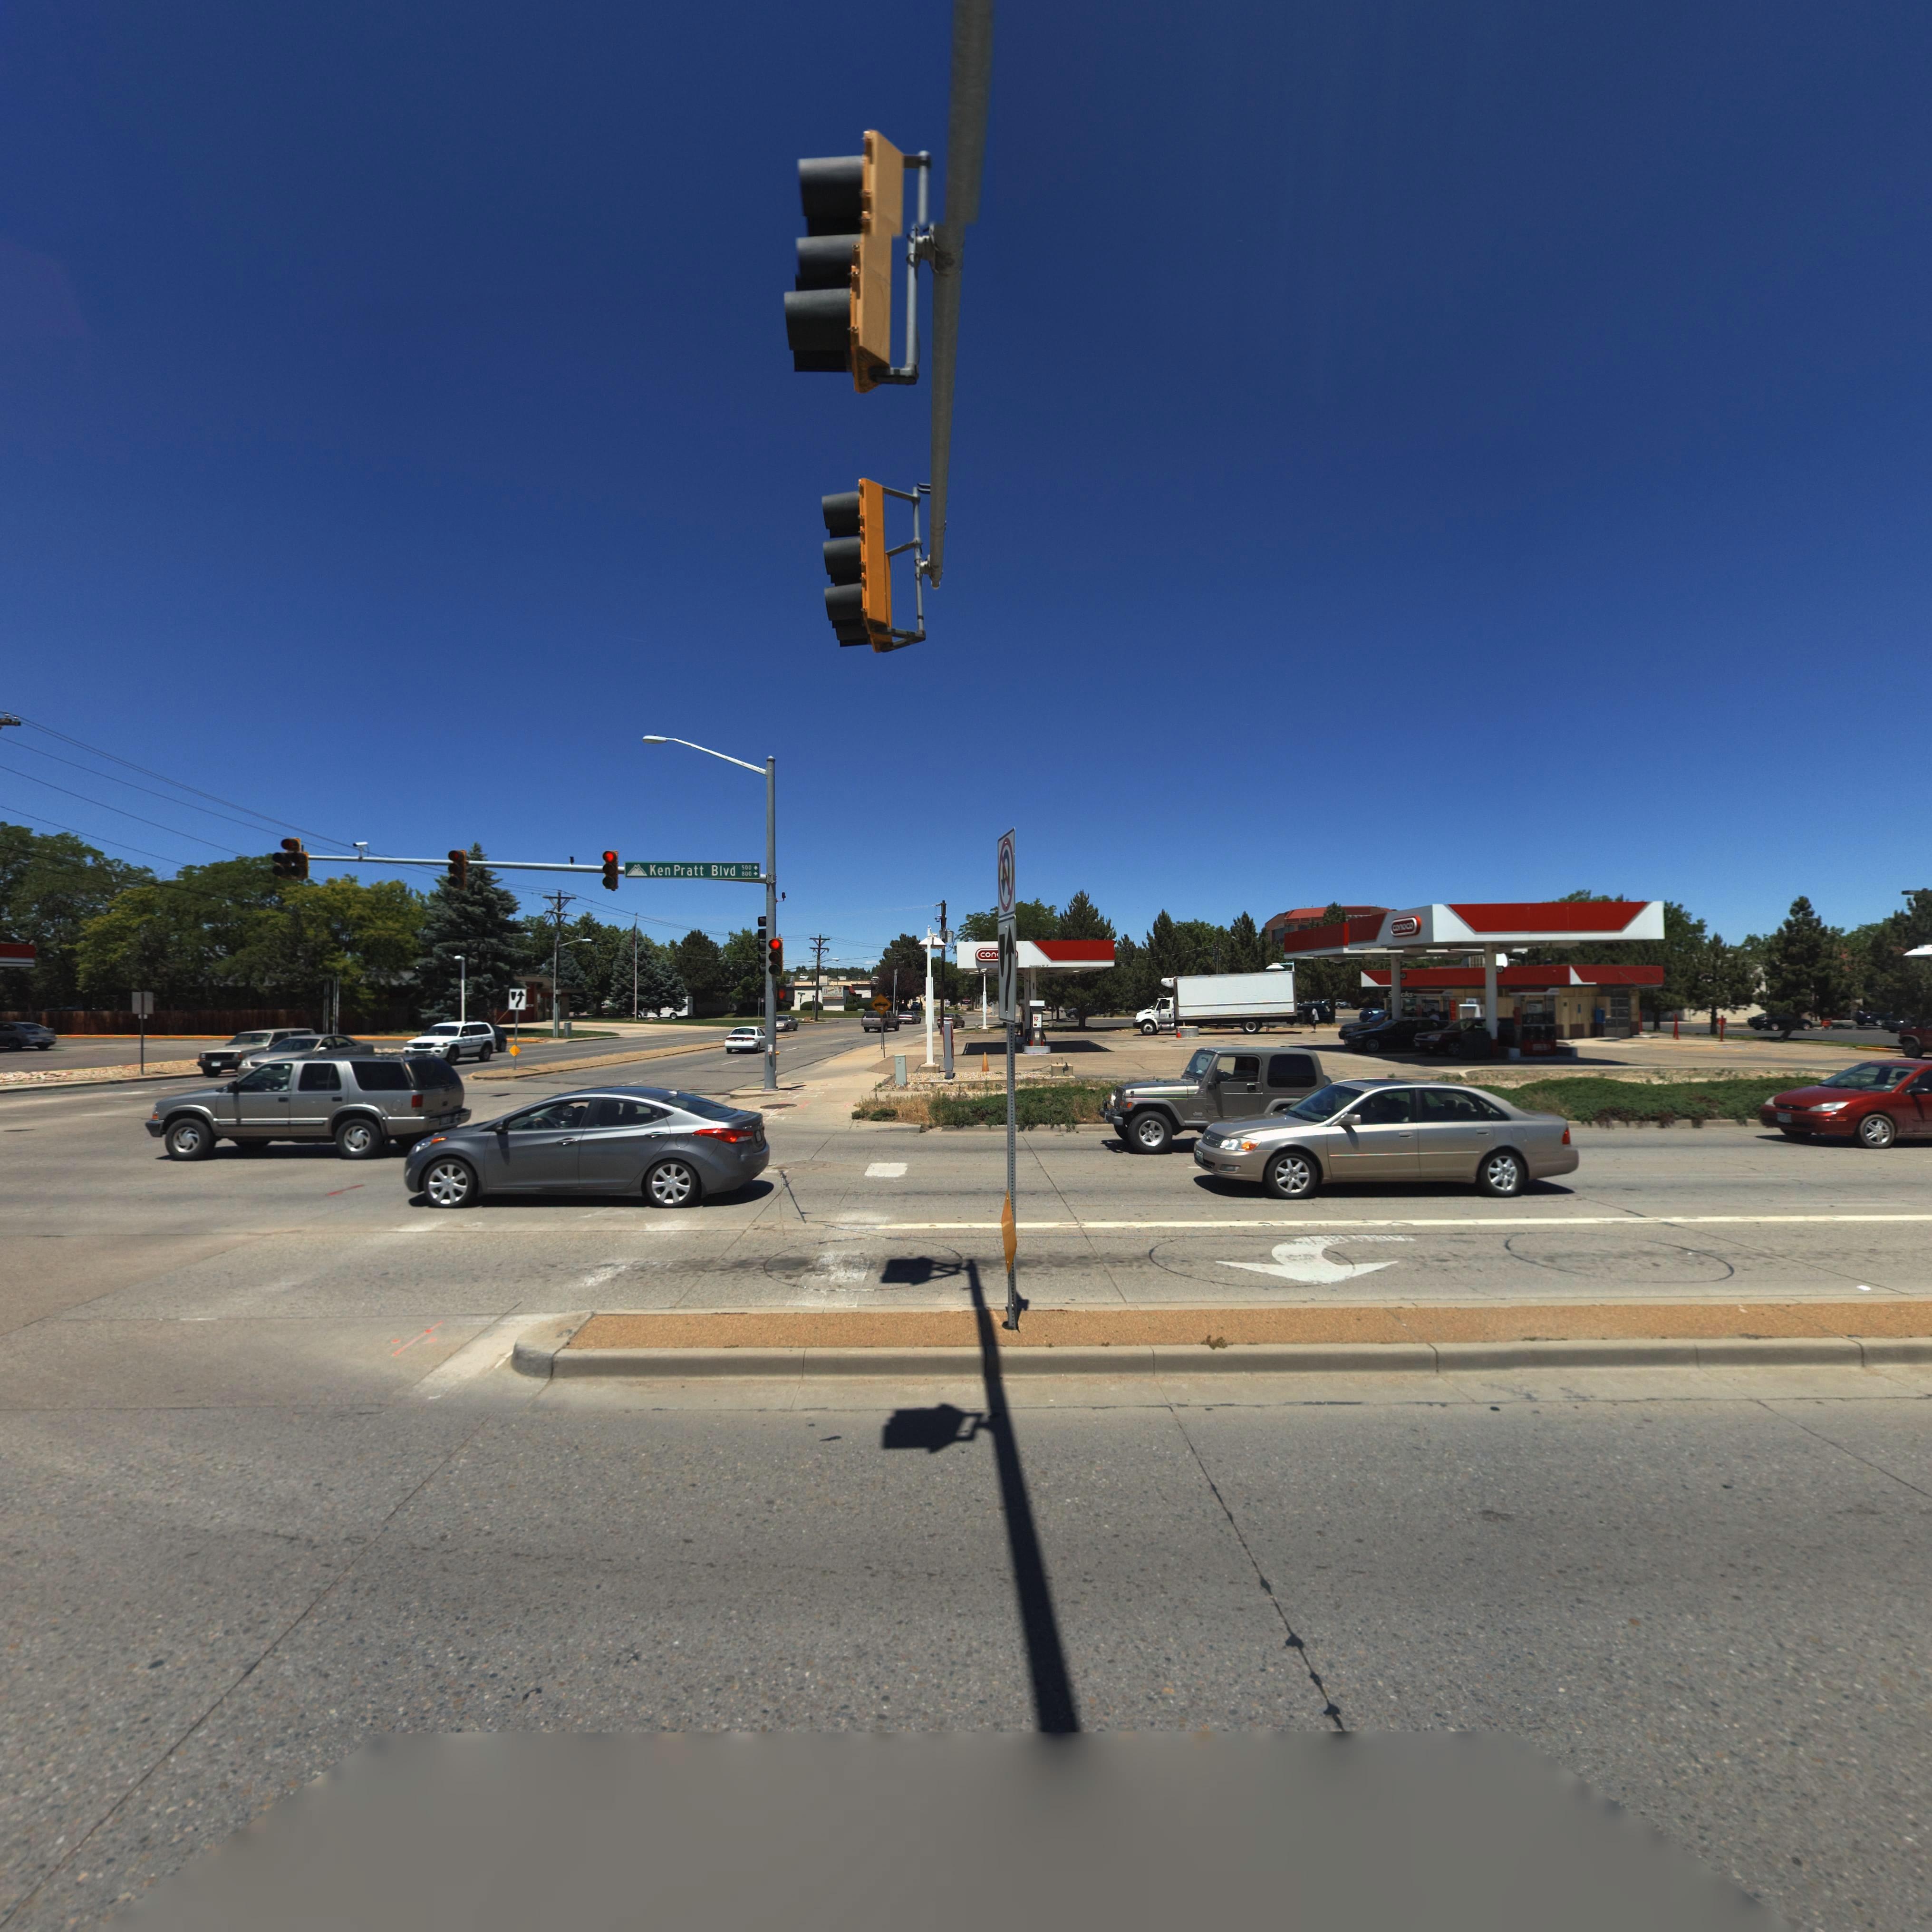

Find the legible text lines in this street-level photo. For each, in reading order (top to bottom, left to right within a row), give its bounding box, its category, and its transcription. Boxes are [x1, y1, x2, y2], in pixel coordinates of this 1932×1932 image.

[649, 864, 736, 876] StreetName: Ken Pratt Blvd
[741, 864, 752, 870] StreetNumberRange: 500
[741, 871, 758, 877] StreetNumberRange: 800->
[1391, 921, 1413, 932] BusinessName: conoco
[979, 951, 999, 958] BusinessName: con*